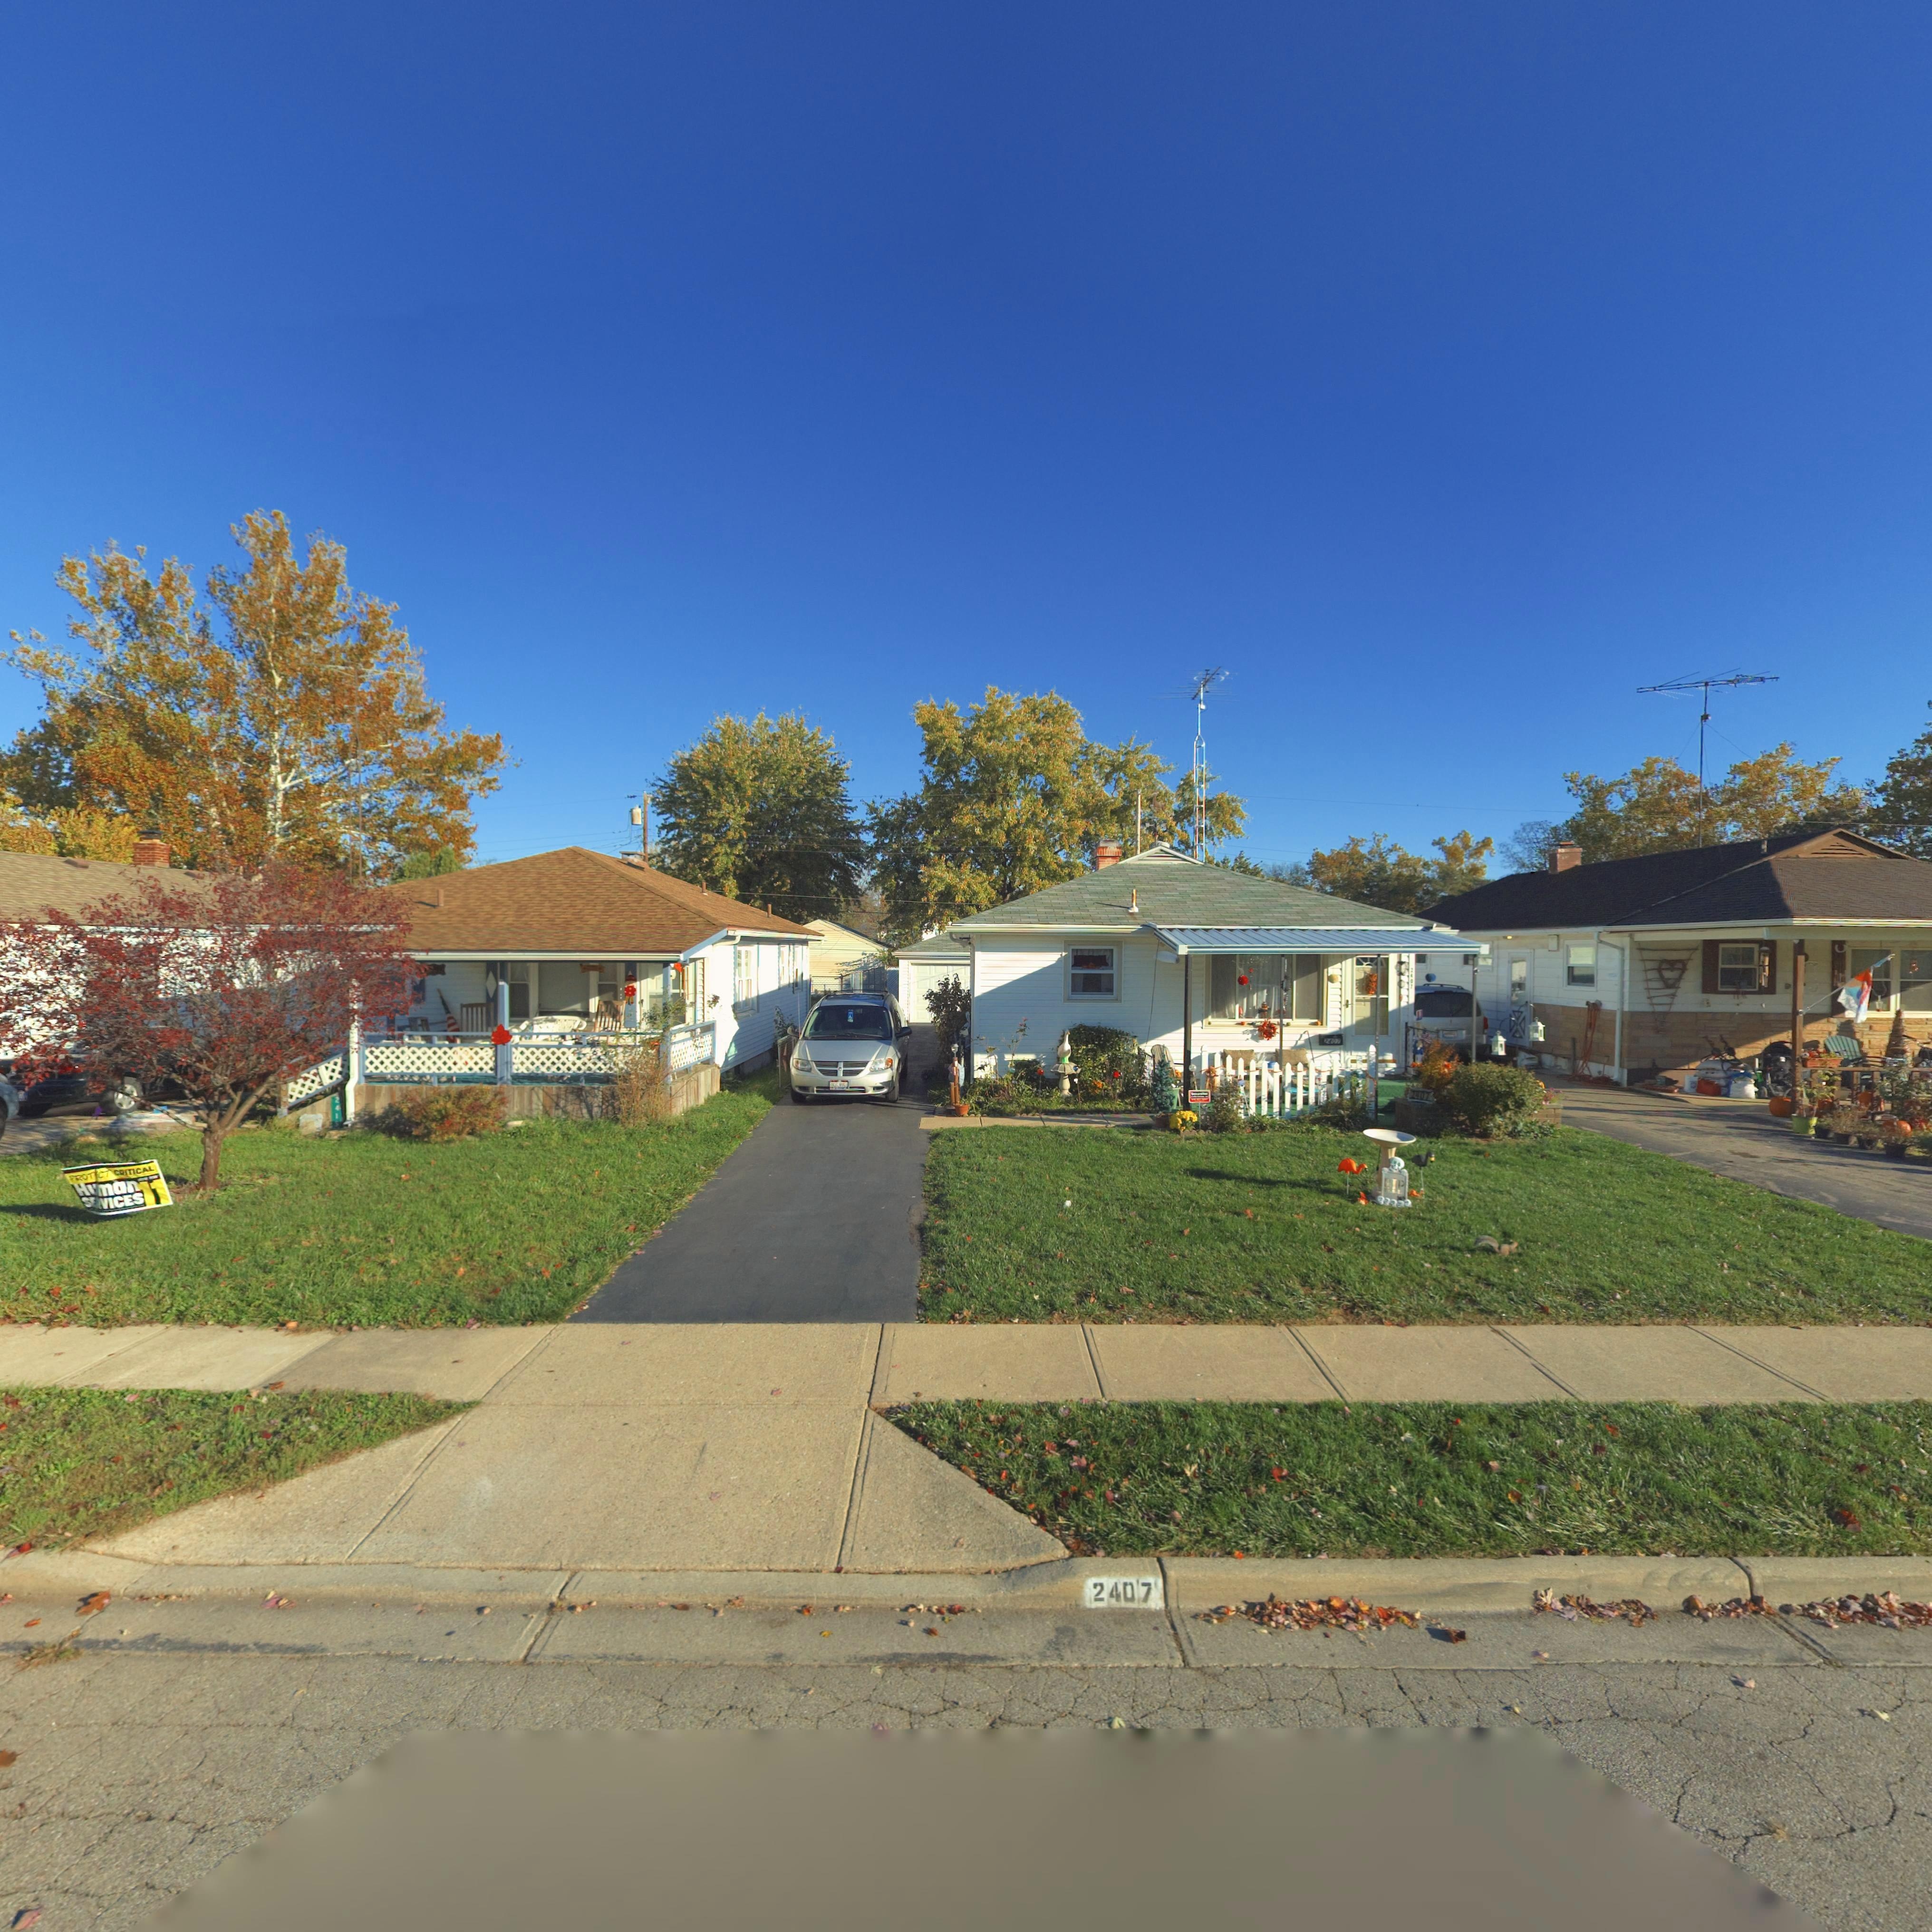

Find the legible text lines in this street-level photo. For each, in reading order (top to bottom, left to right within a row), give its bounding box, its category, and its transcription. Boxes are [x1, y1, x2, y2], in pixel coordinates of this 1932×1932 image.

[1323, 1038, 1341, 1044] StreetNumber: 2407
[1089, 1581, 1153, 1605] StreetNumber: 2407